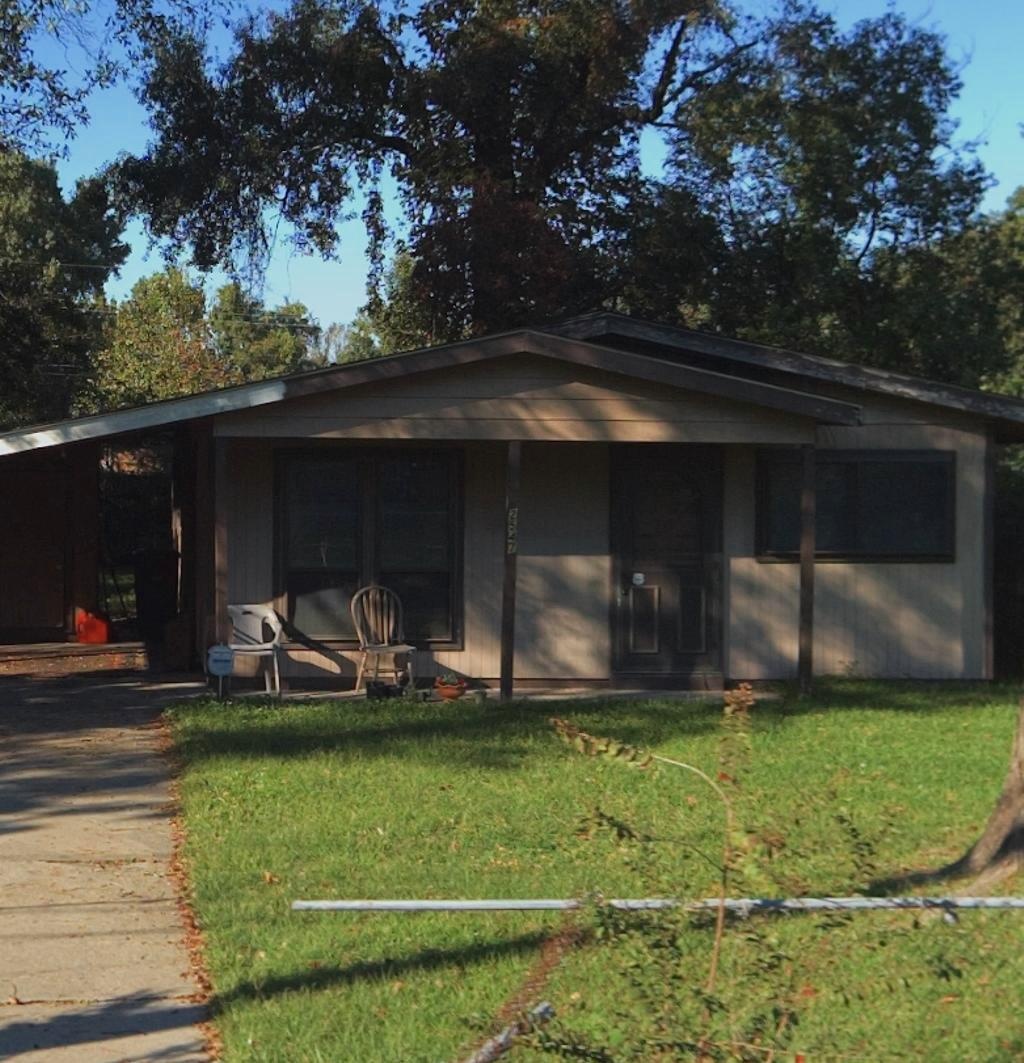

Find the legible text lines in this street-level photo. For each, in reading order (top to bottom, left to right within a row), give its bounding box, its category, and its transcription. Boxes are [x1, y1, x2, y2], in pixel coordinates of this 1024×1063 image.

[508, 508, 517, 553] StreetNumber: 2547